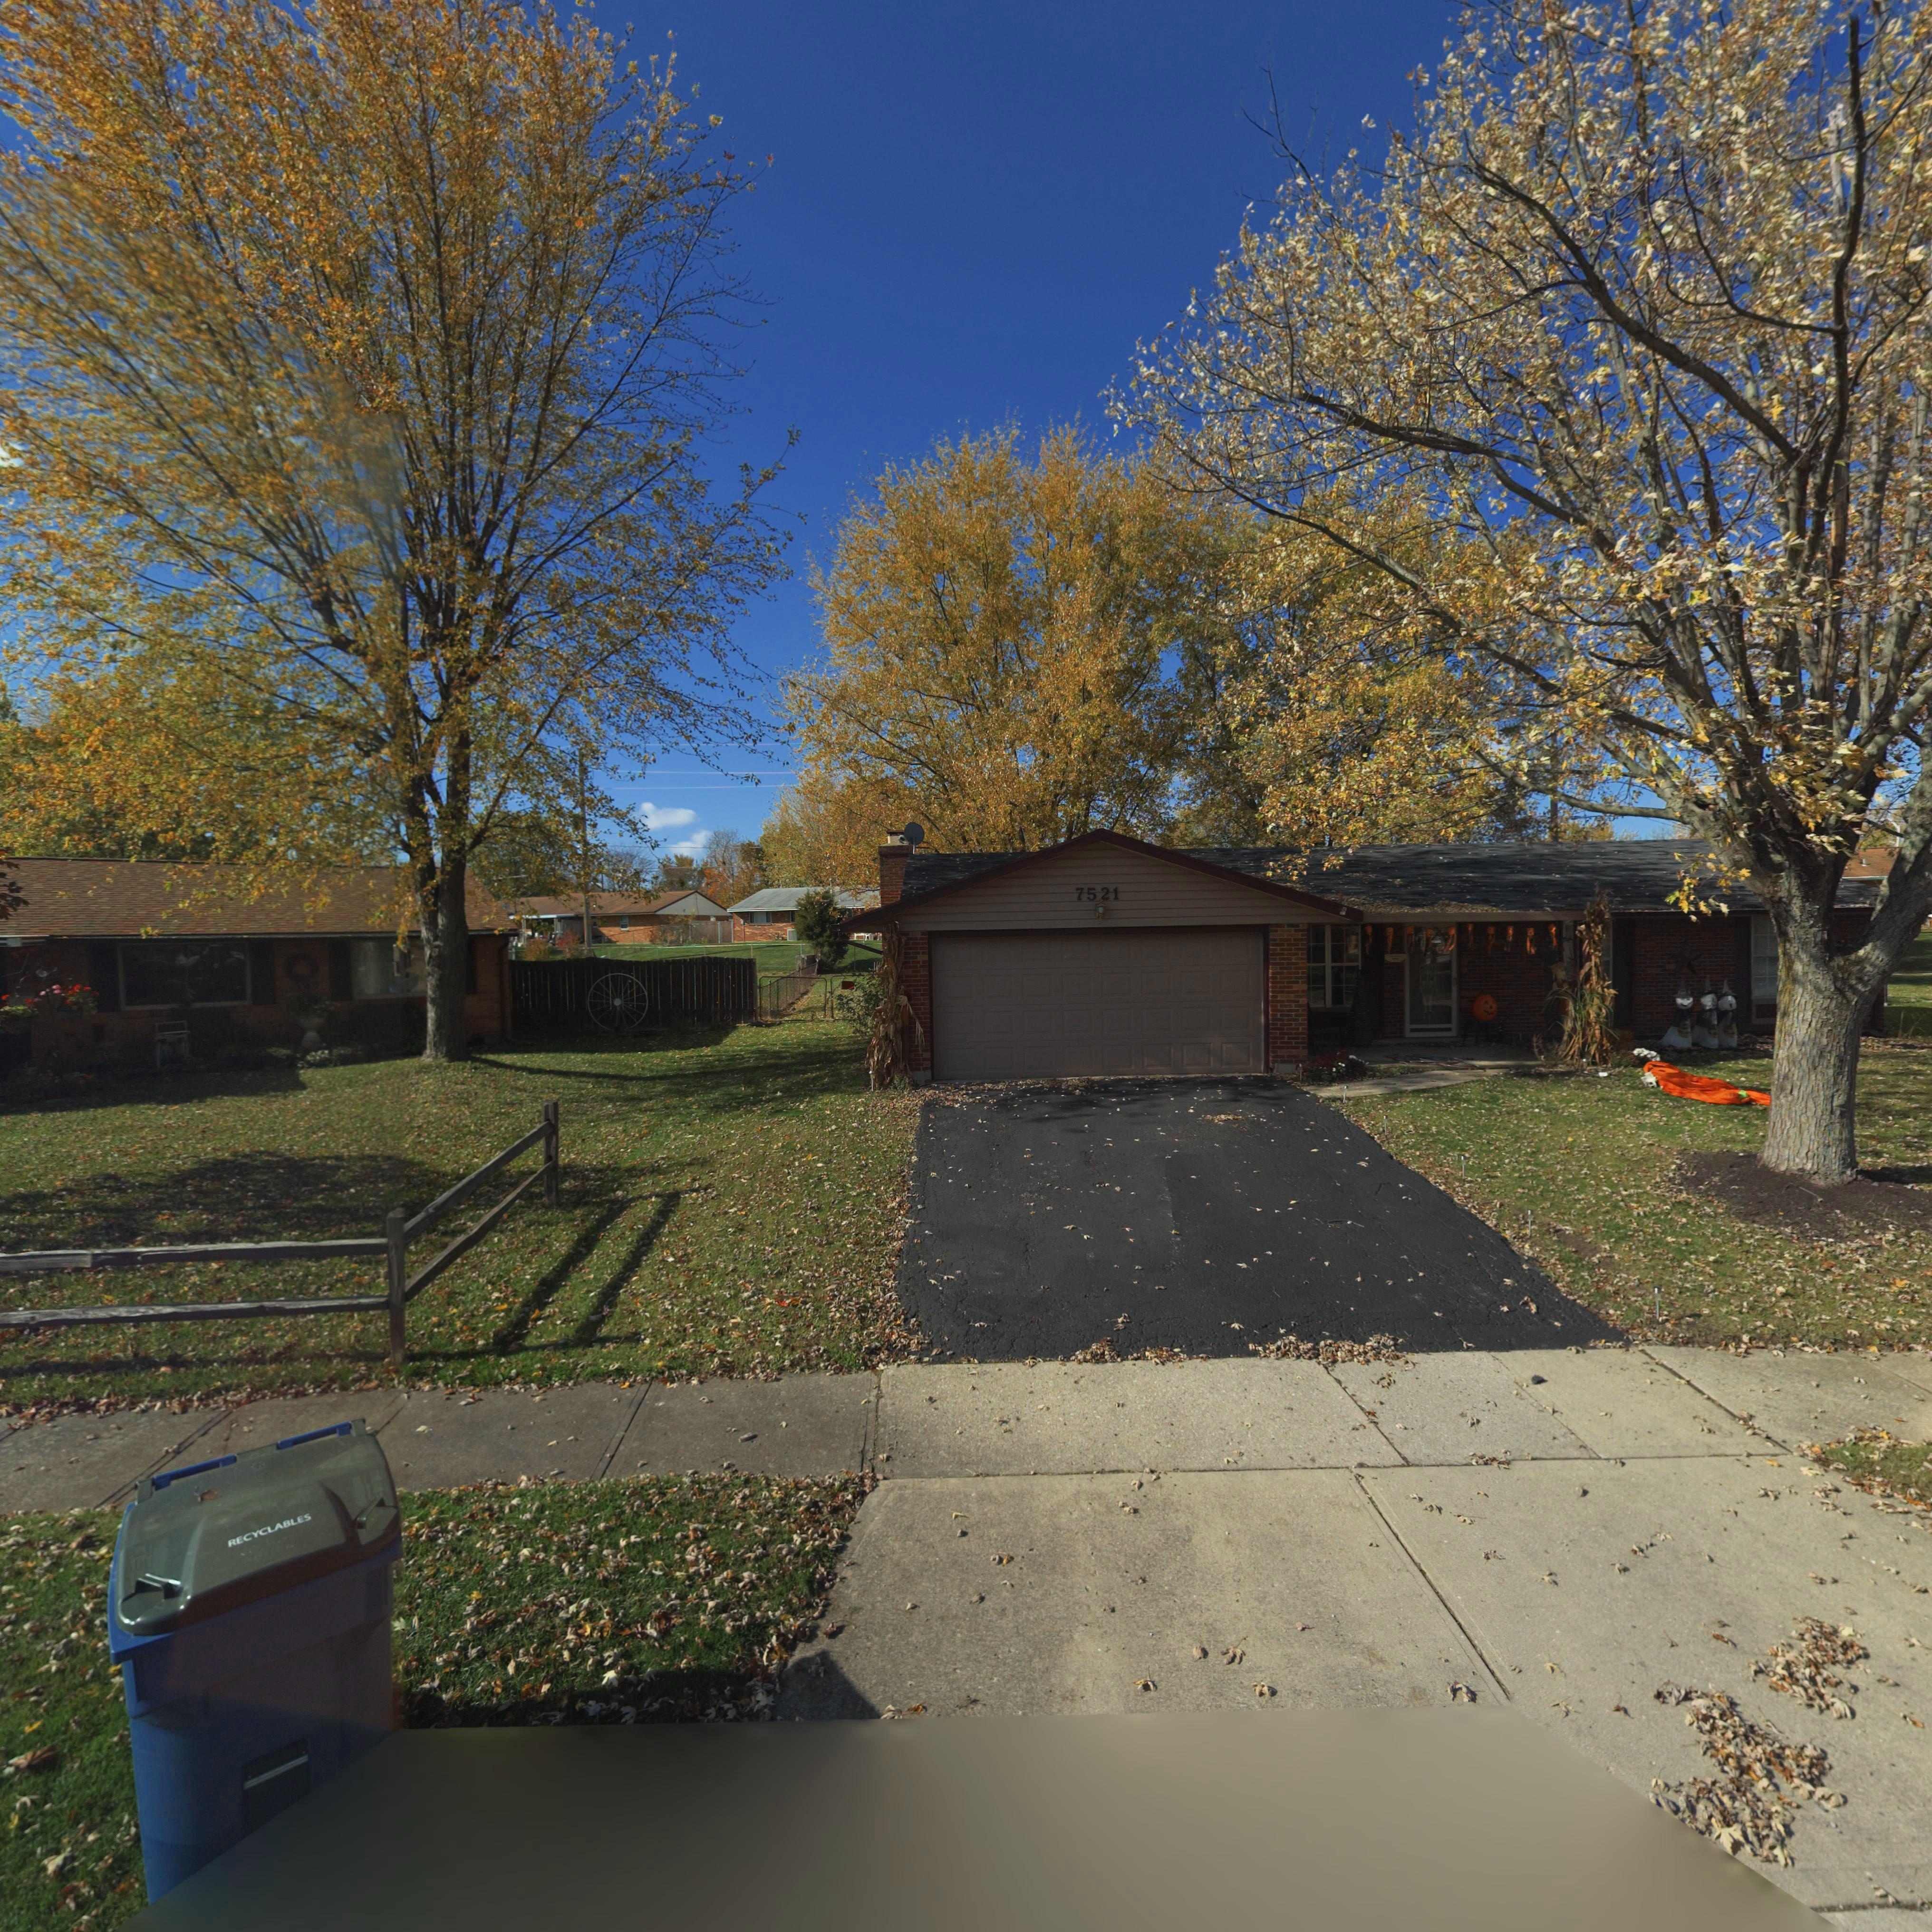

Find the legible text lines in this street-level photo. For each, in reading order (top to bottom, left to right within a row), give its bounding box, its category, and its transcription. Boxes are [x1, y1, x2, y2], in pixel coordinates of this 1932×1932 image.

[1074, 885, 1121, 902] StreetNumber: 7521